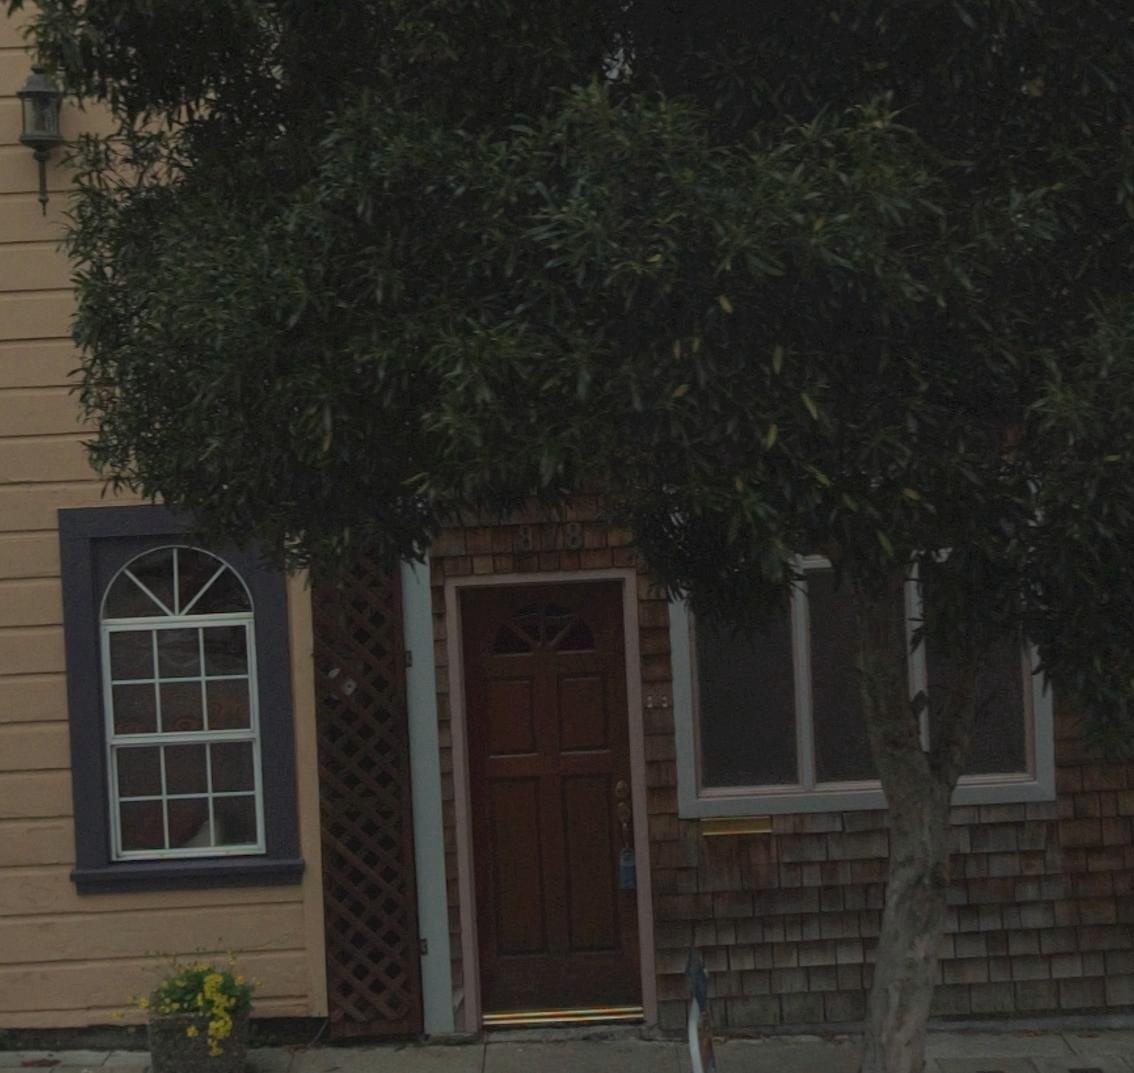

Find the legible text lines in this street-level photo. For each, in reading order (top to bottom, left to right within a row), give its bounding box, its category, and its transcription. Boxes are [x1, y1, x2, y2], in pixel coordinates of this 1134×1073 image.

[516, 521, 586, 553] StreetNumber: 878